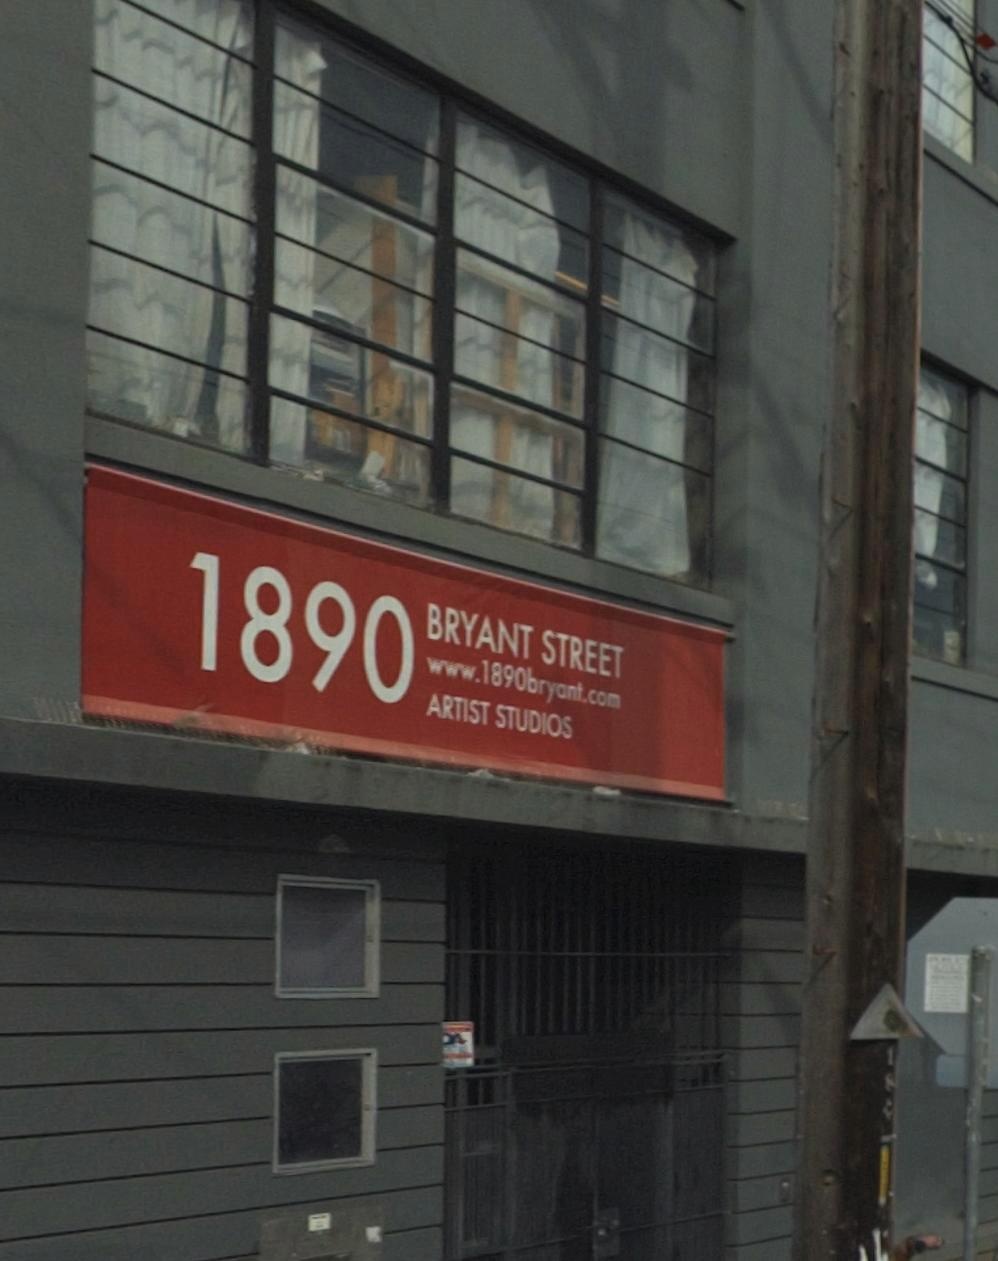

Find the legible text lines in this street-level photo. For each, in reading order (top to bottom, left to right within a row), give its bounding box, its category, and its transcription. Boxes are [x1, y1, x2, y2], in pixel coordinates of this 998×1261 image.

[188, 547, 424, 713] StreetNumber: 1890
[423, 596, 629, 681] StreetName: BRYANT STREET
[421, 688, 575, 743] None: ARTIST STUDIOS
[422, 651, 623, 712] None: www.1890bryant.com